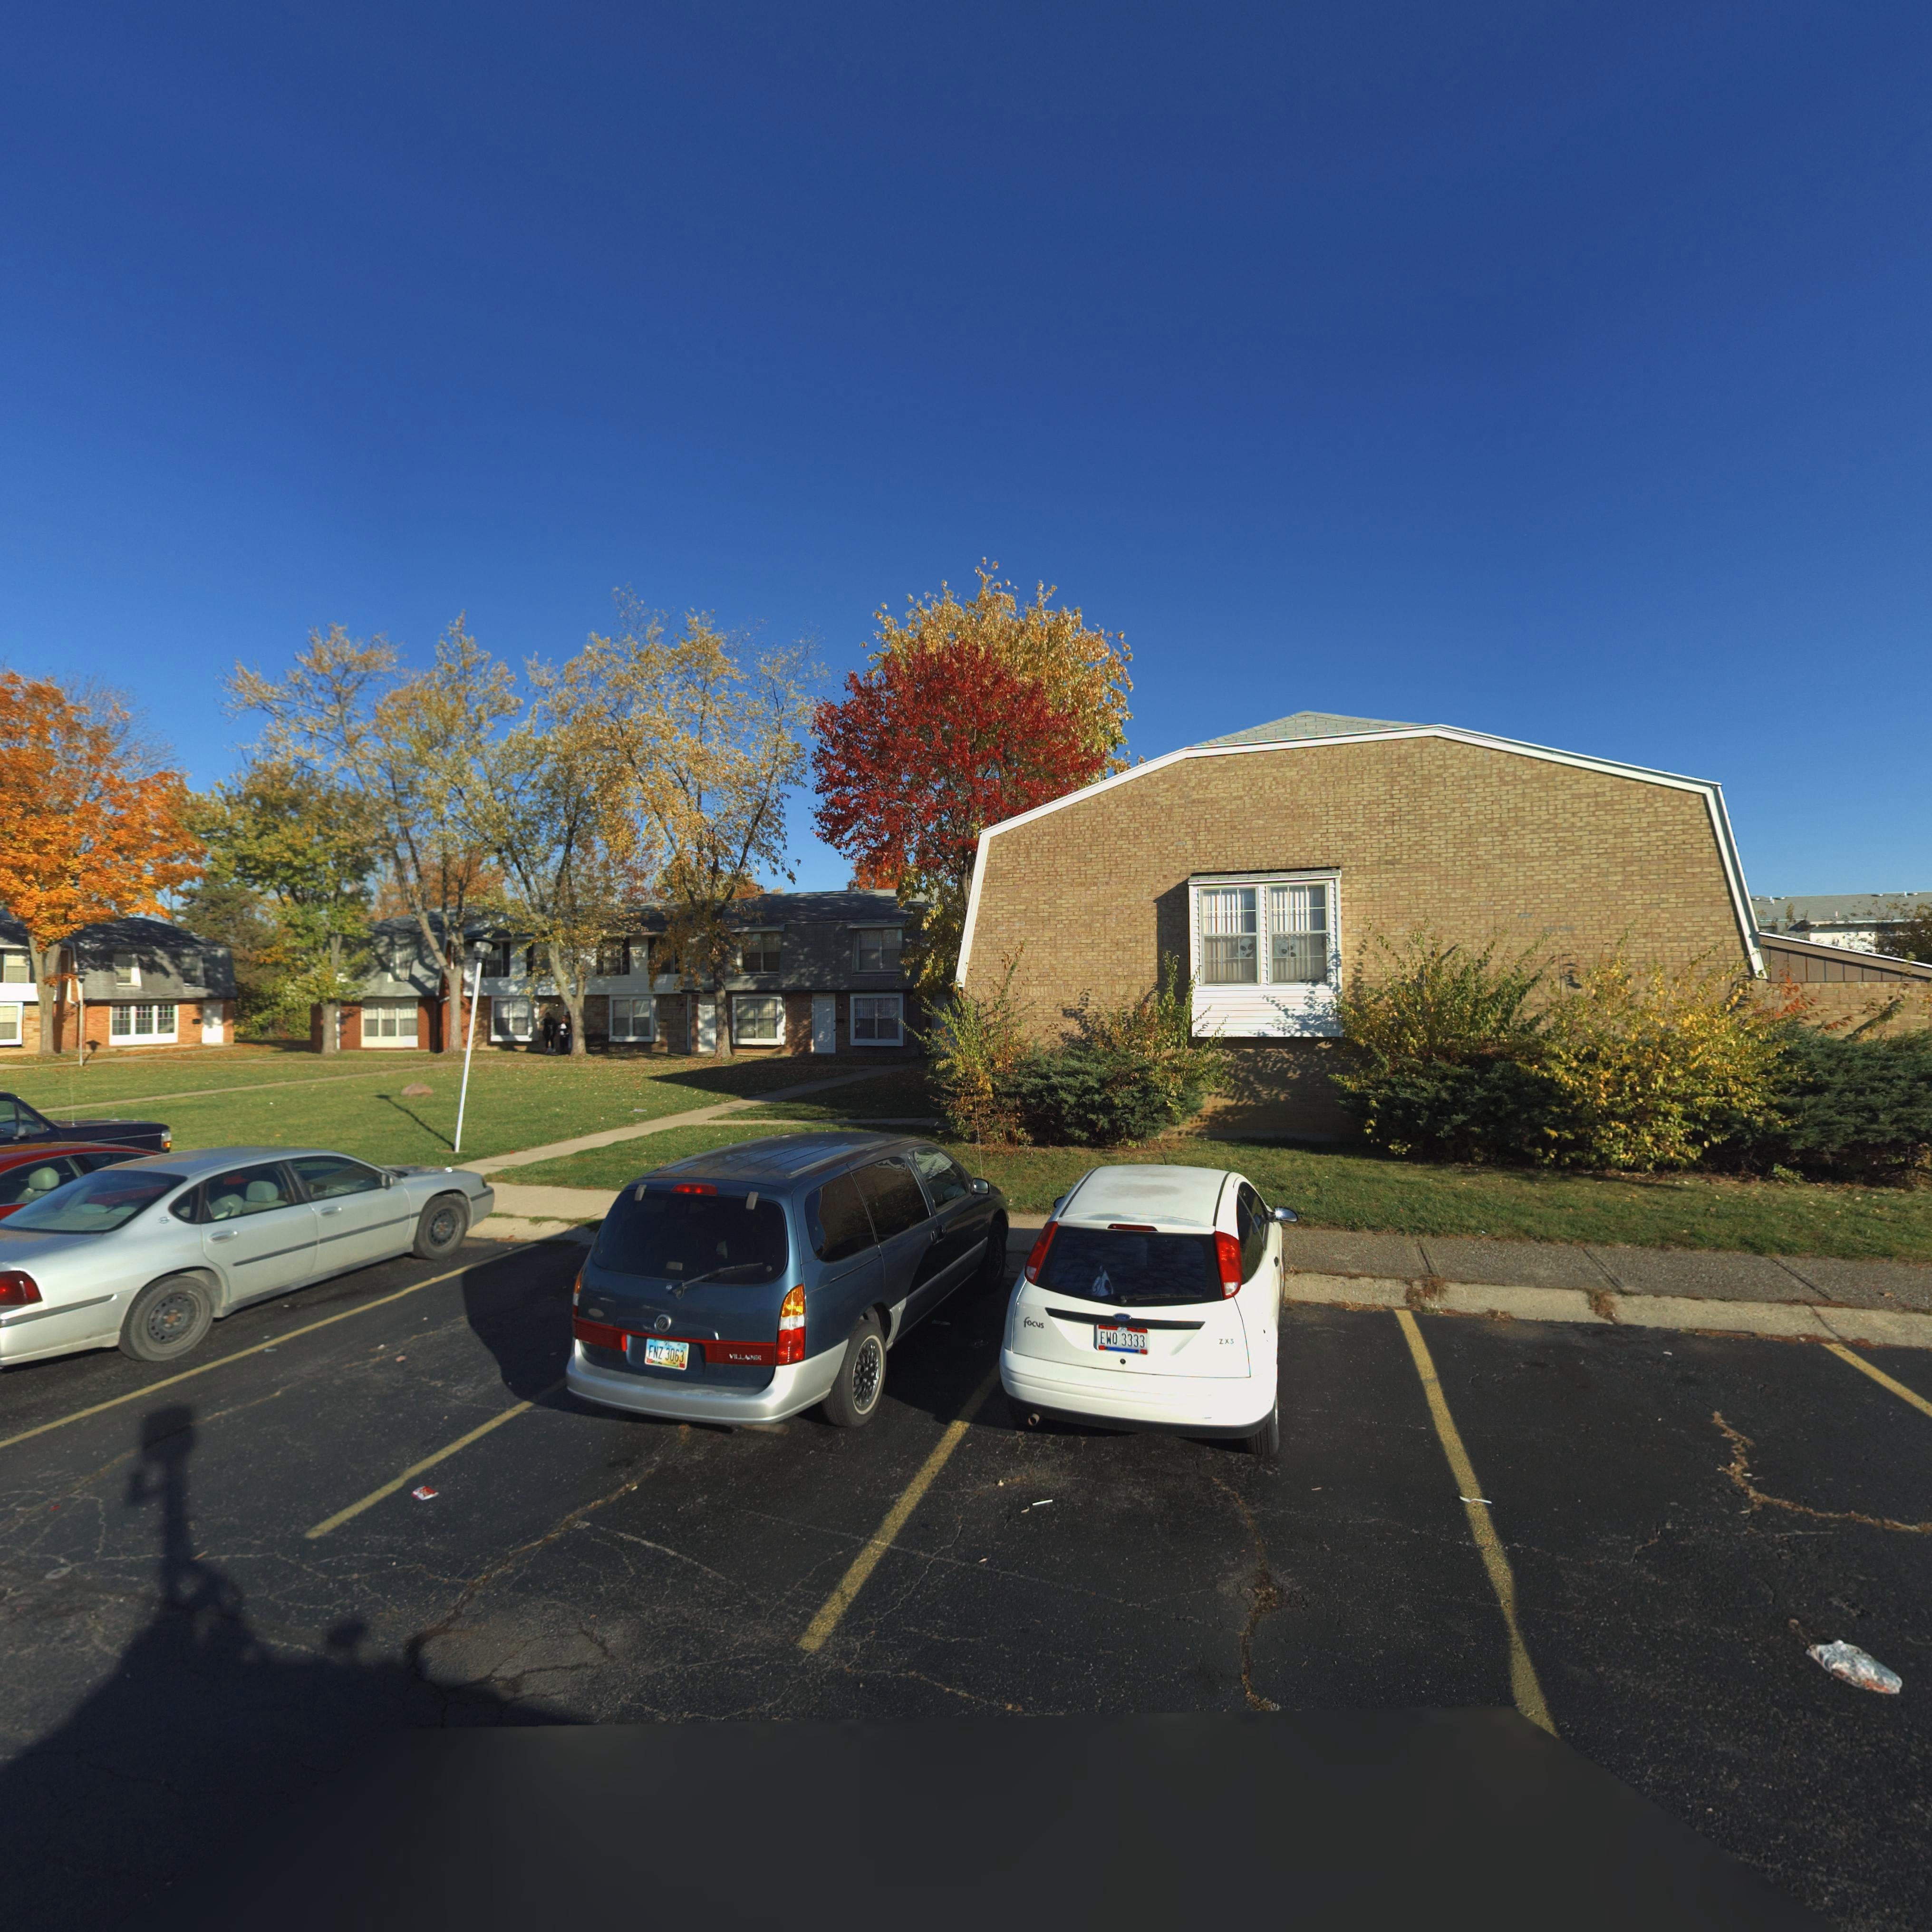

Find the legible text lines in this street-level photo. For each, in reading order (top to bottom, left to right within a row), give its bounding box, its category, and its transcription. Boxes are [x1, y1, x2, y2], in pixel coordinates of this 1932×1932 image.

[819, 994, 830, 997] StreetNumber: **97